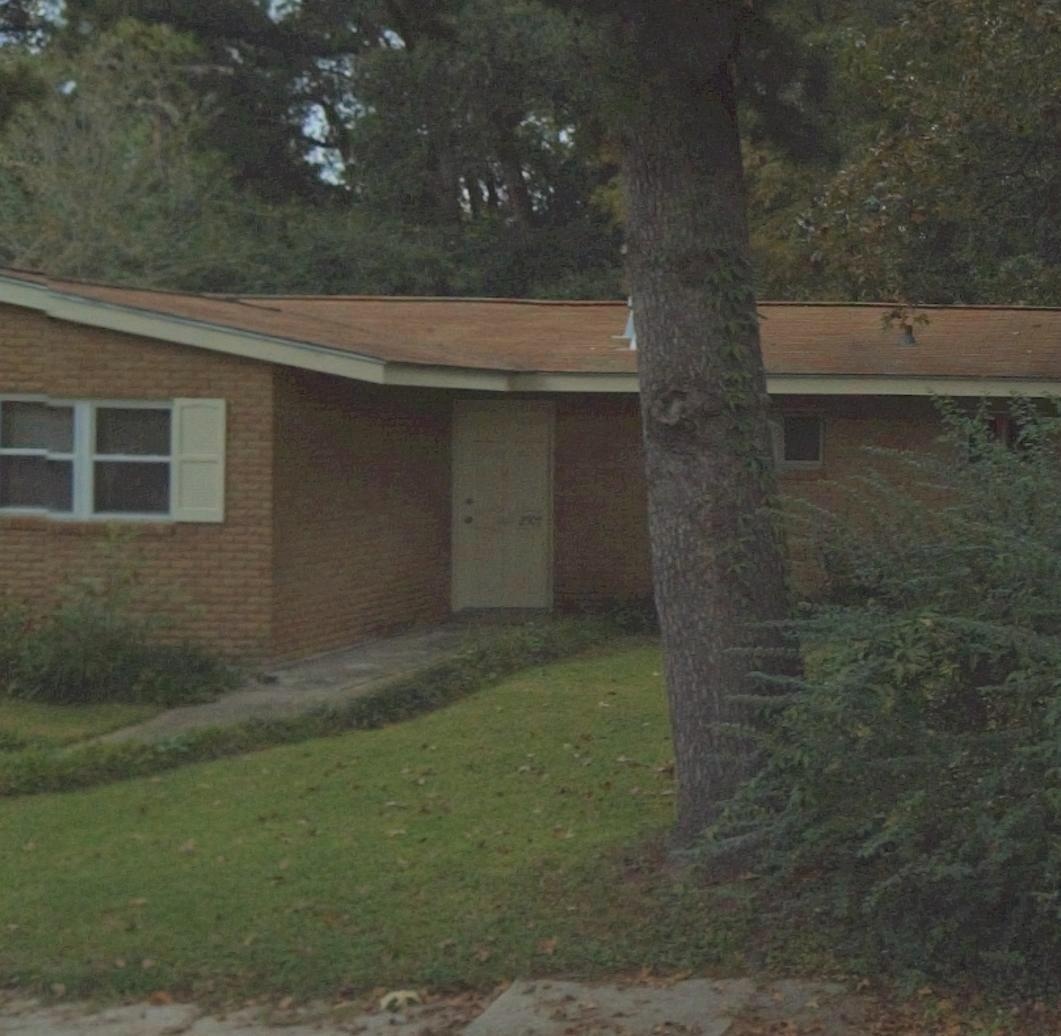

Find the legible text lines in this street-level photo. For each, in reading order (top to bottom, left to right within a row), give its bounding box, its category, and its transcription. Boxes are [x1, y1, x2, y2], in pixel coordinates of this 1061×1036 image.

[515, 513, 545, 527] StreetNumber: 2501